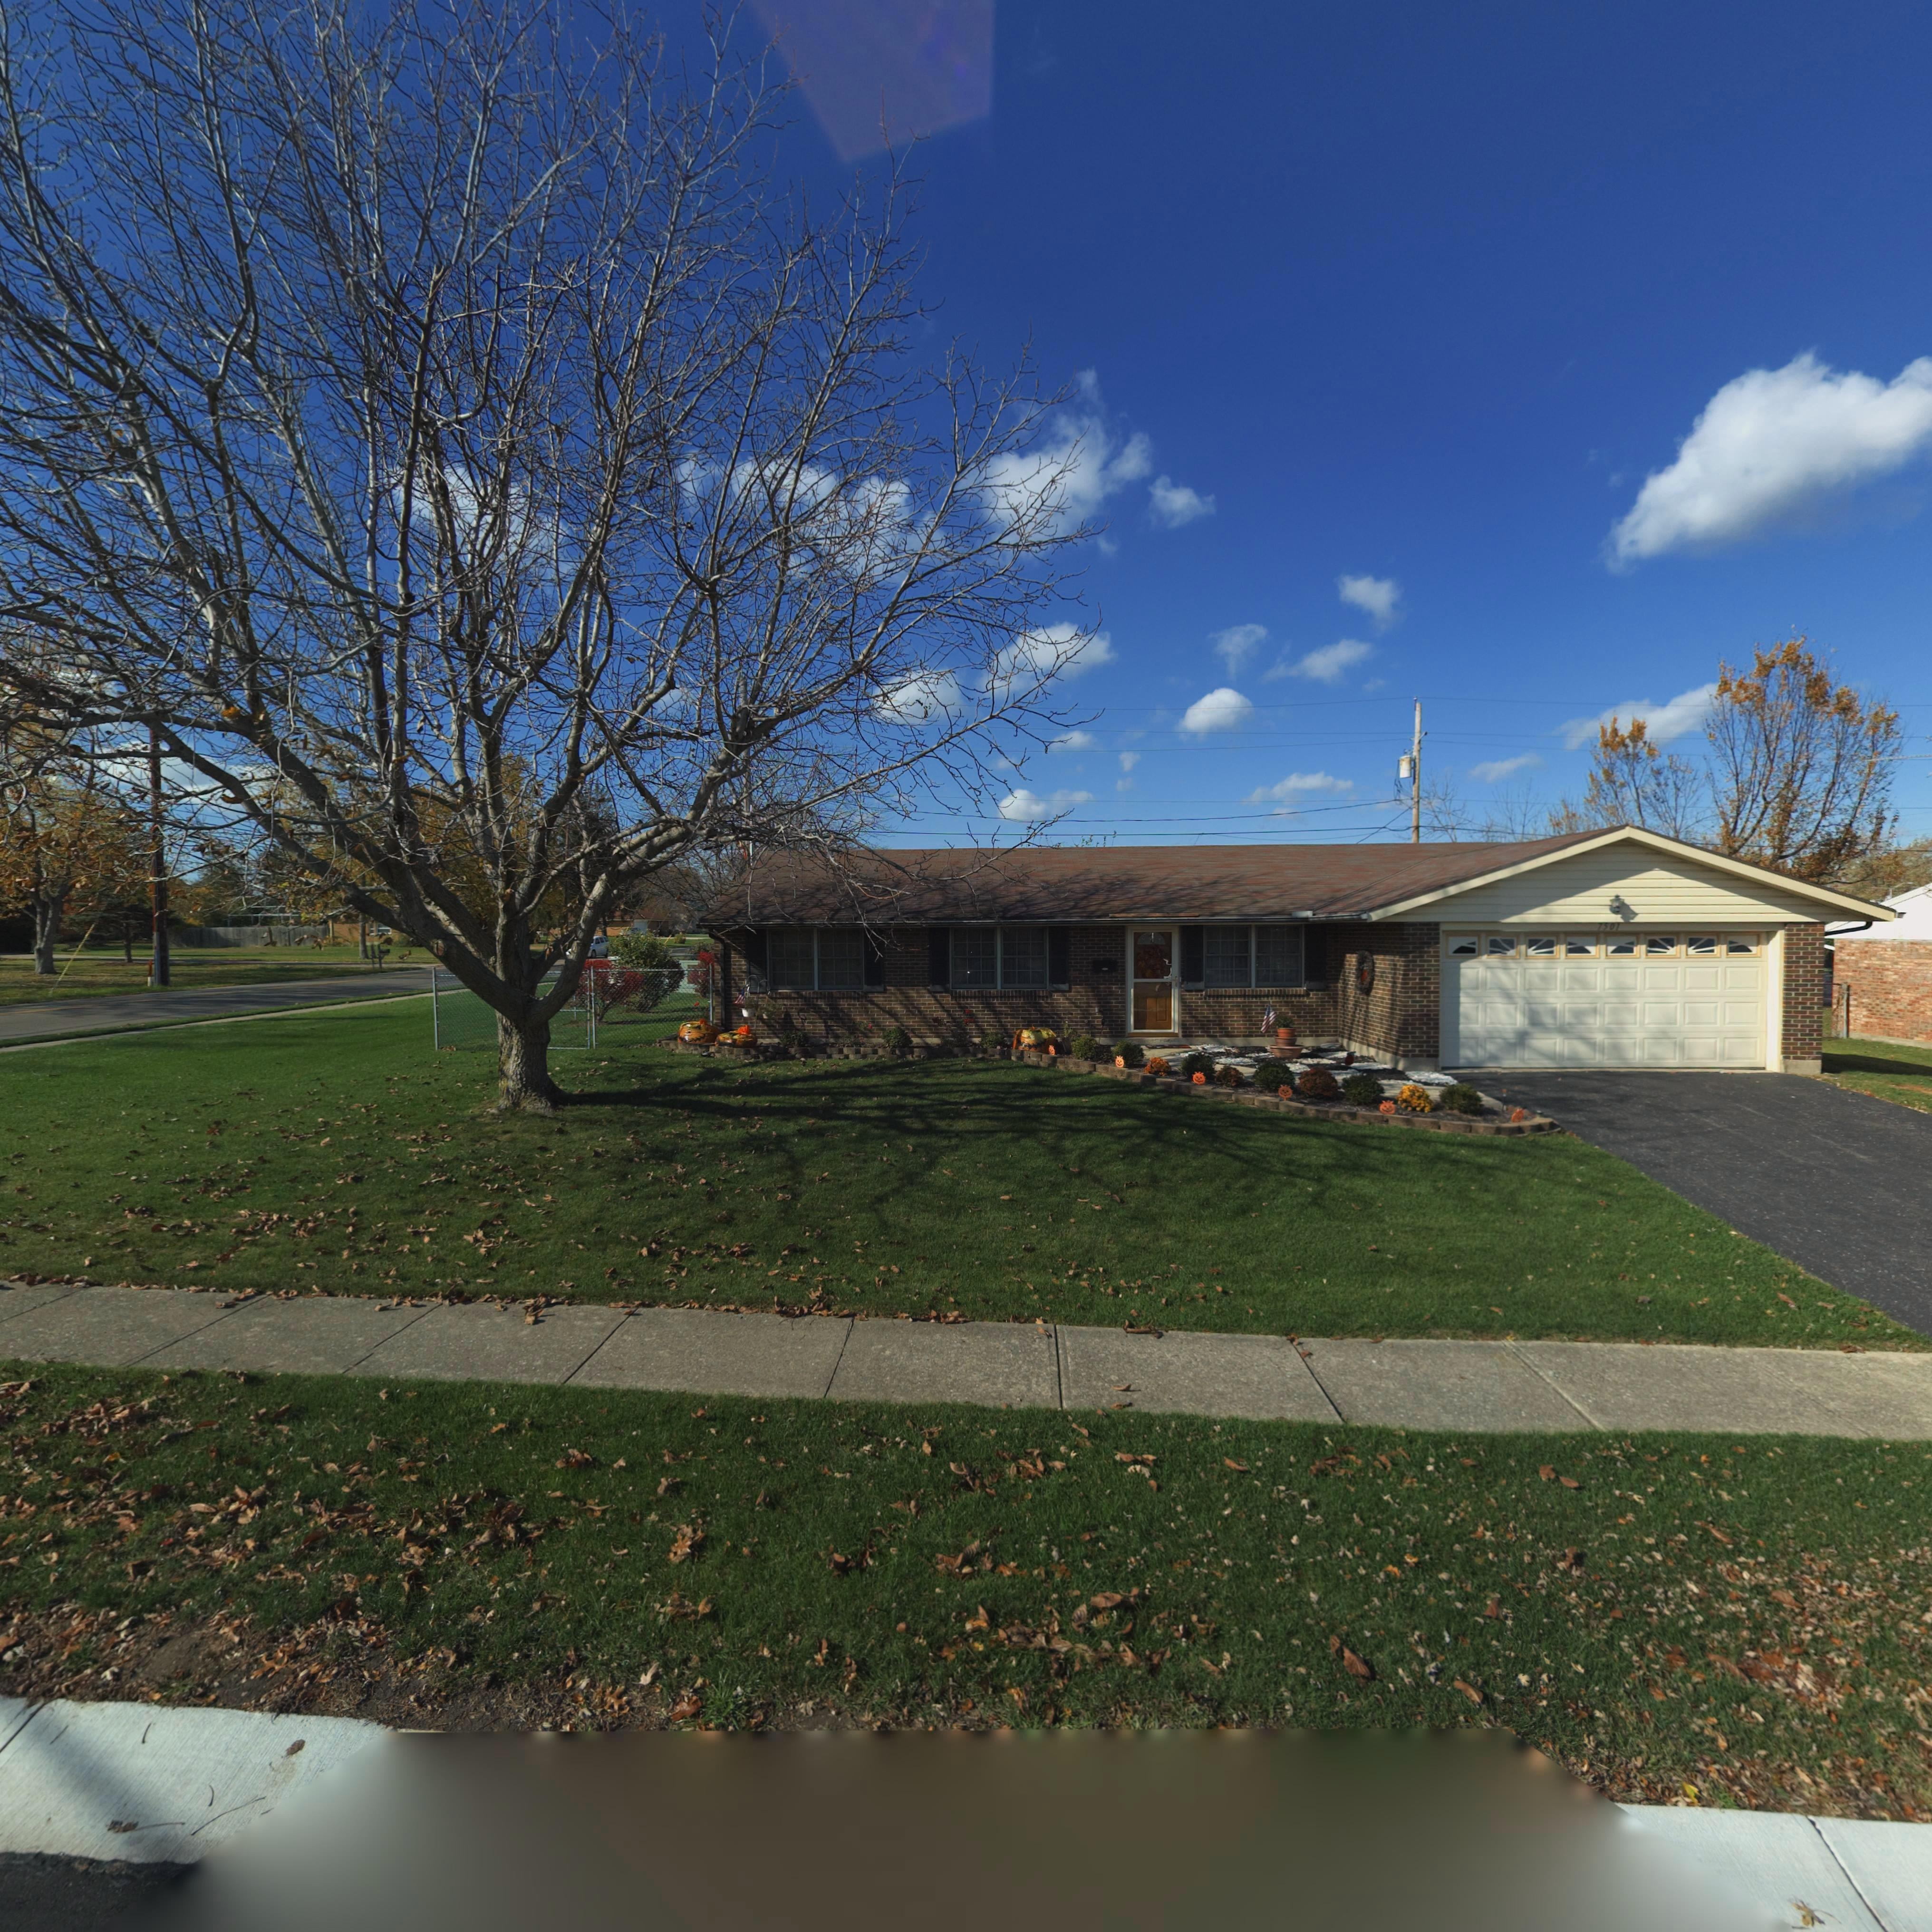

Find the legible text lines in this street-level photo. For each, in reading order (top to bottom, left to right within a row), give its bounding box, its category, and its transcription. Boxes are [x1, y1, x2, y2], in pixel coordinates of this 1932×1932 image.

[1596, 921, 1622, 932] StreetNumber: 7501